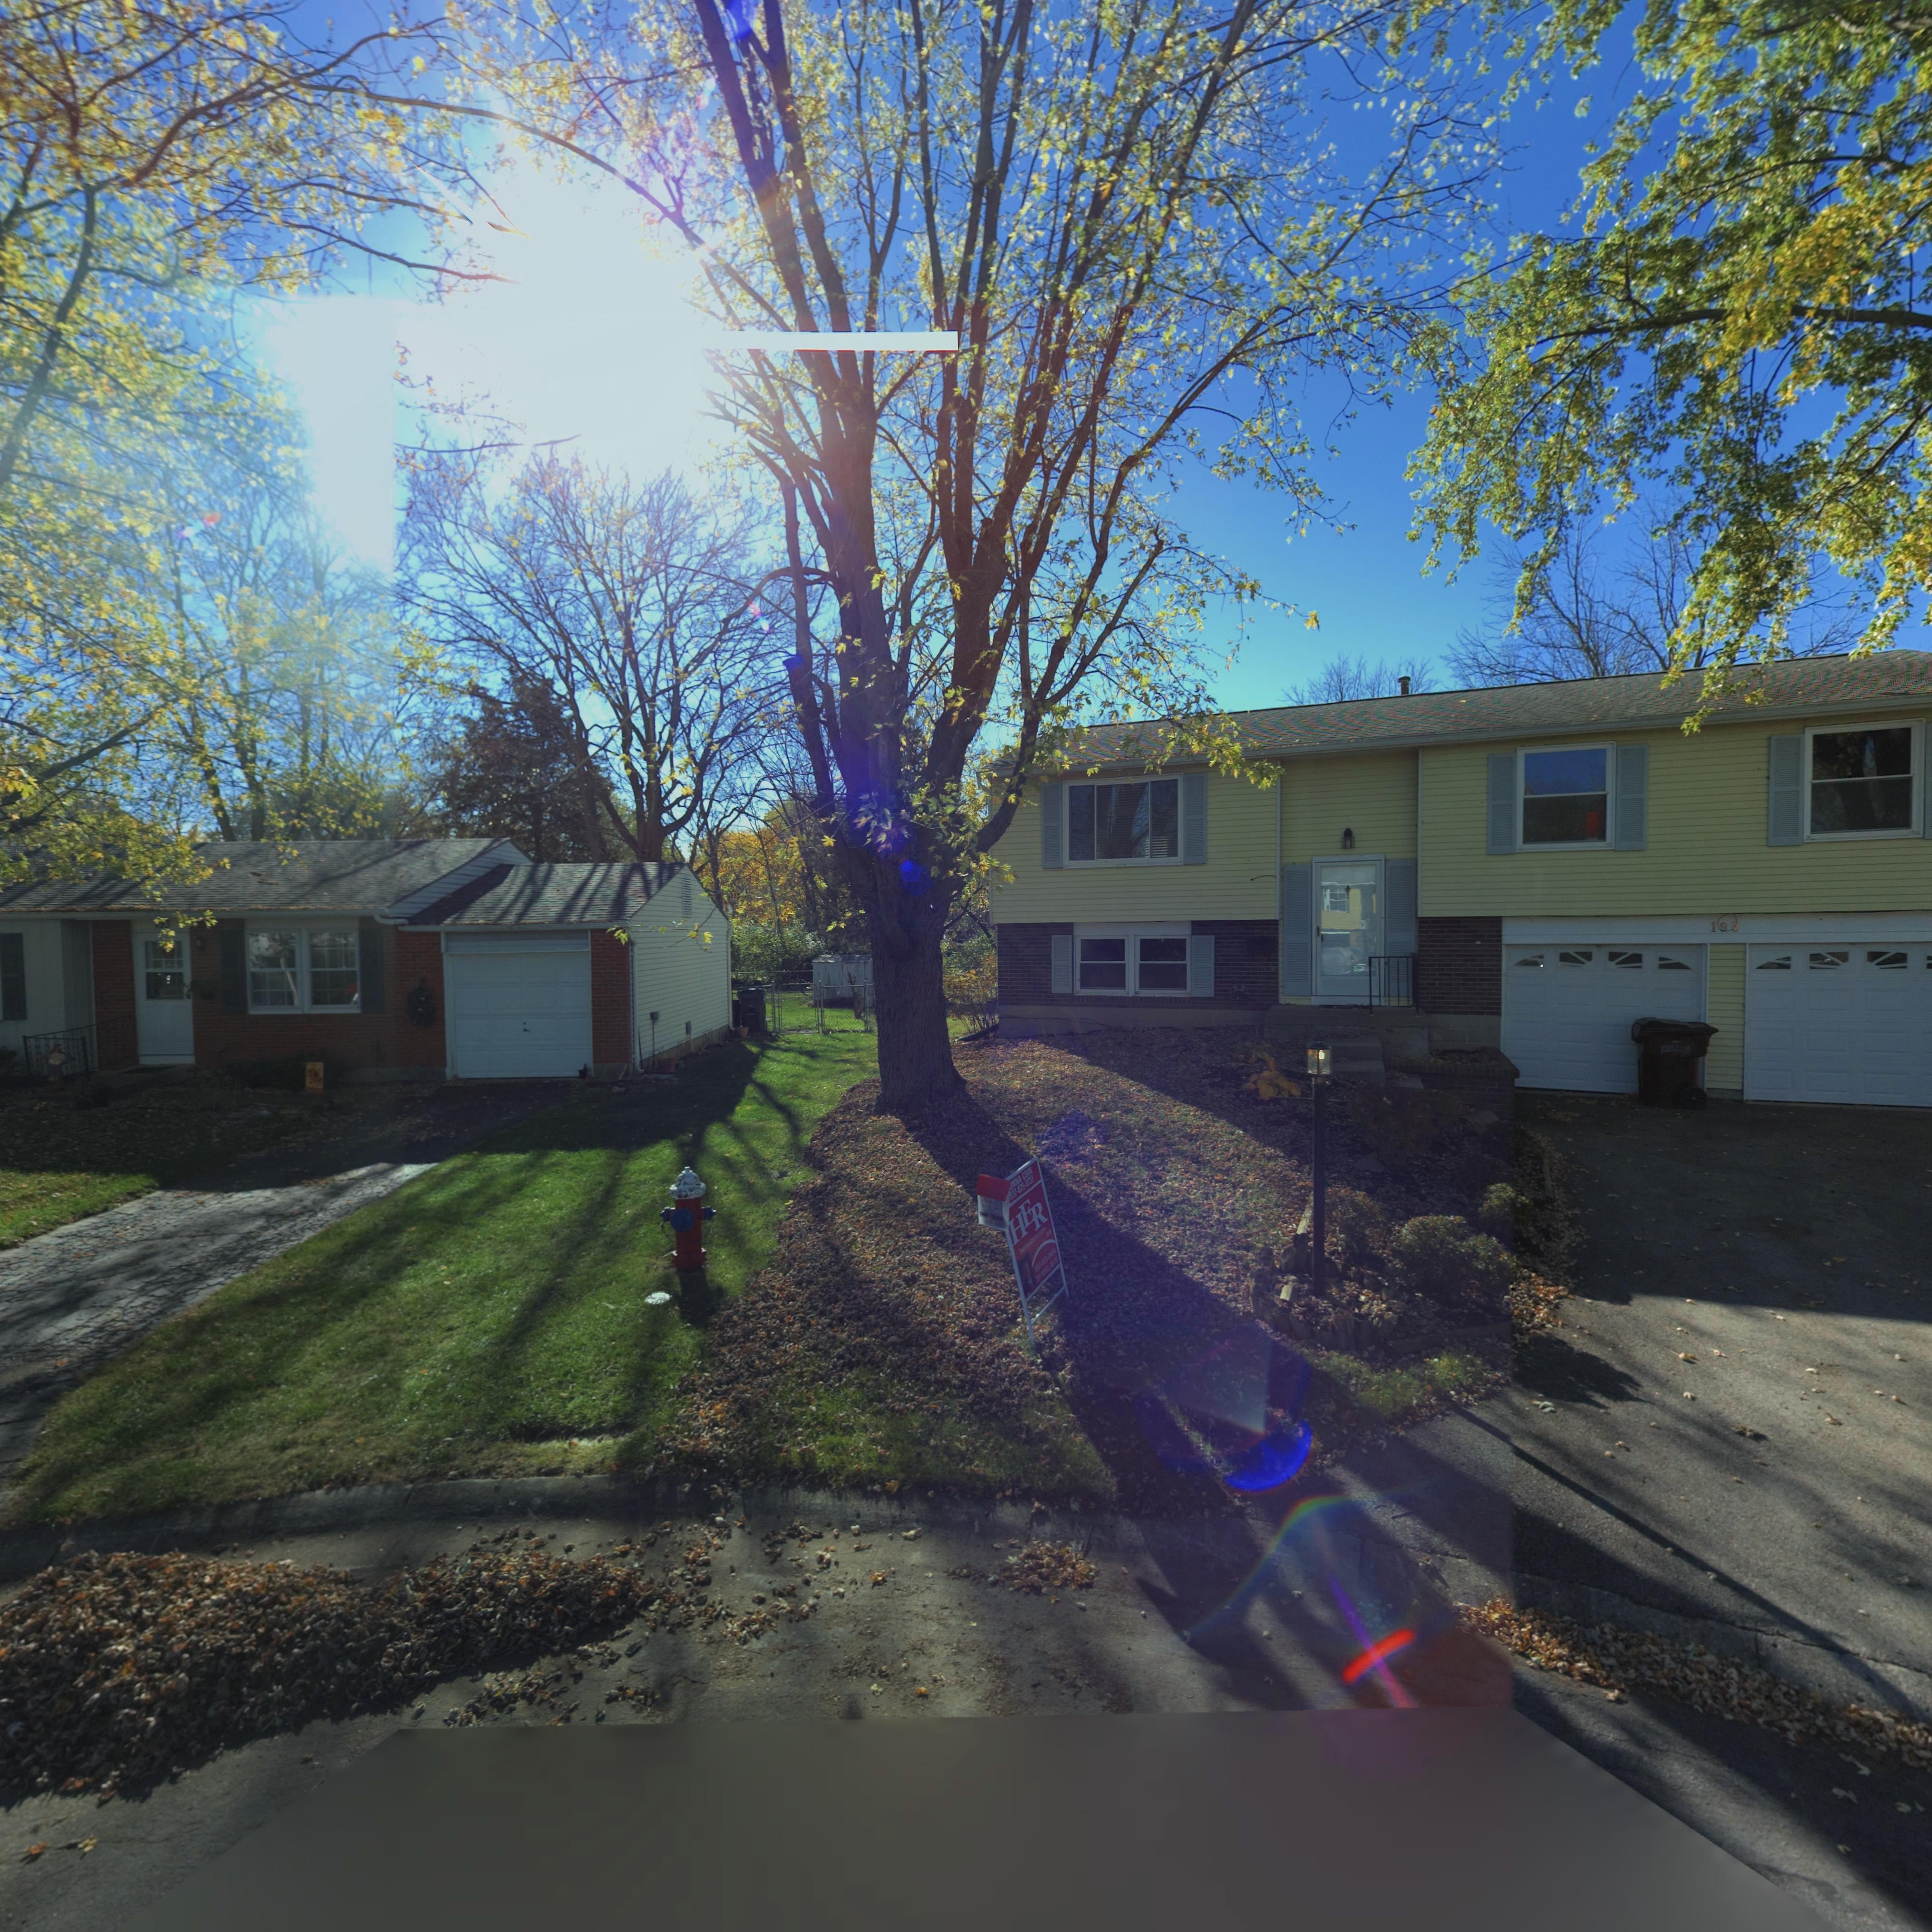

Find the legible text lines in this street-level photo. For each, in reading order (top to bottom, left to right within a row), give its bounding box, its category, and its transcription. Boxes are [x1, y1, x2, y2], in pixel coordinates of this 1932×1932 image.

[1710, 921, 1740, 933] StreetNumber: 1**